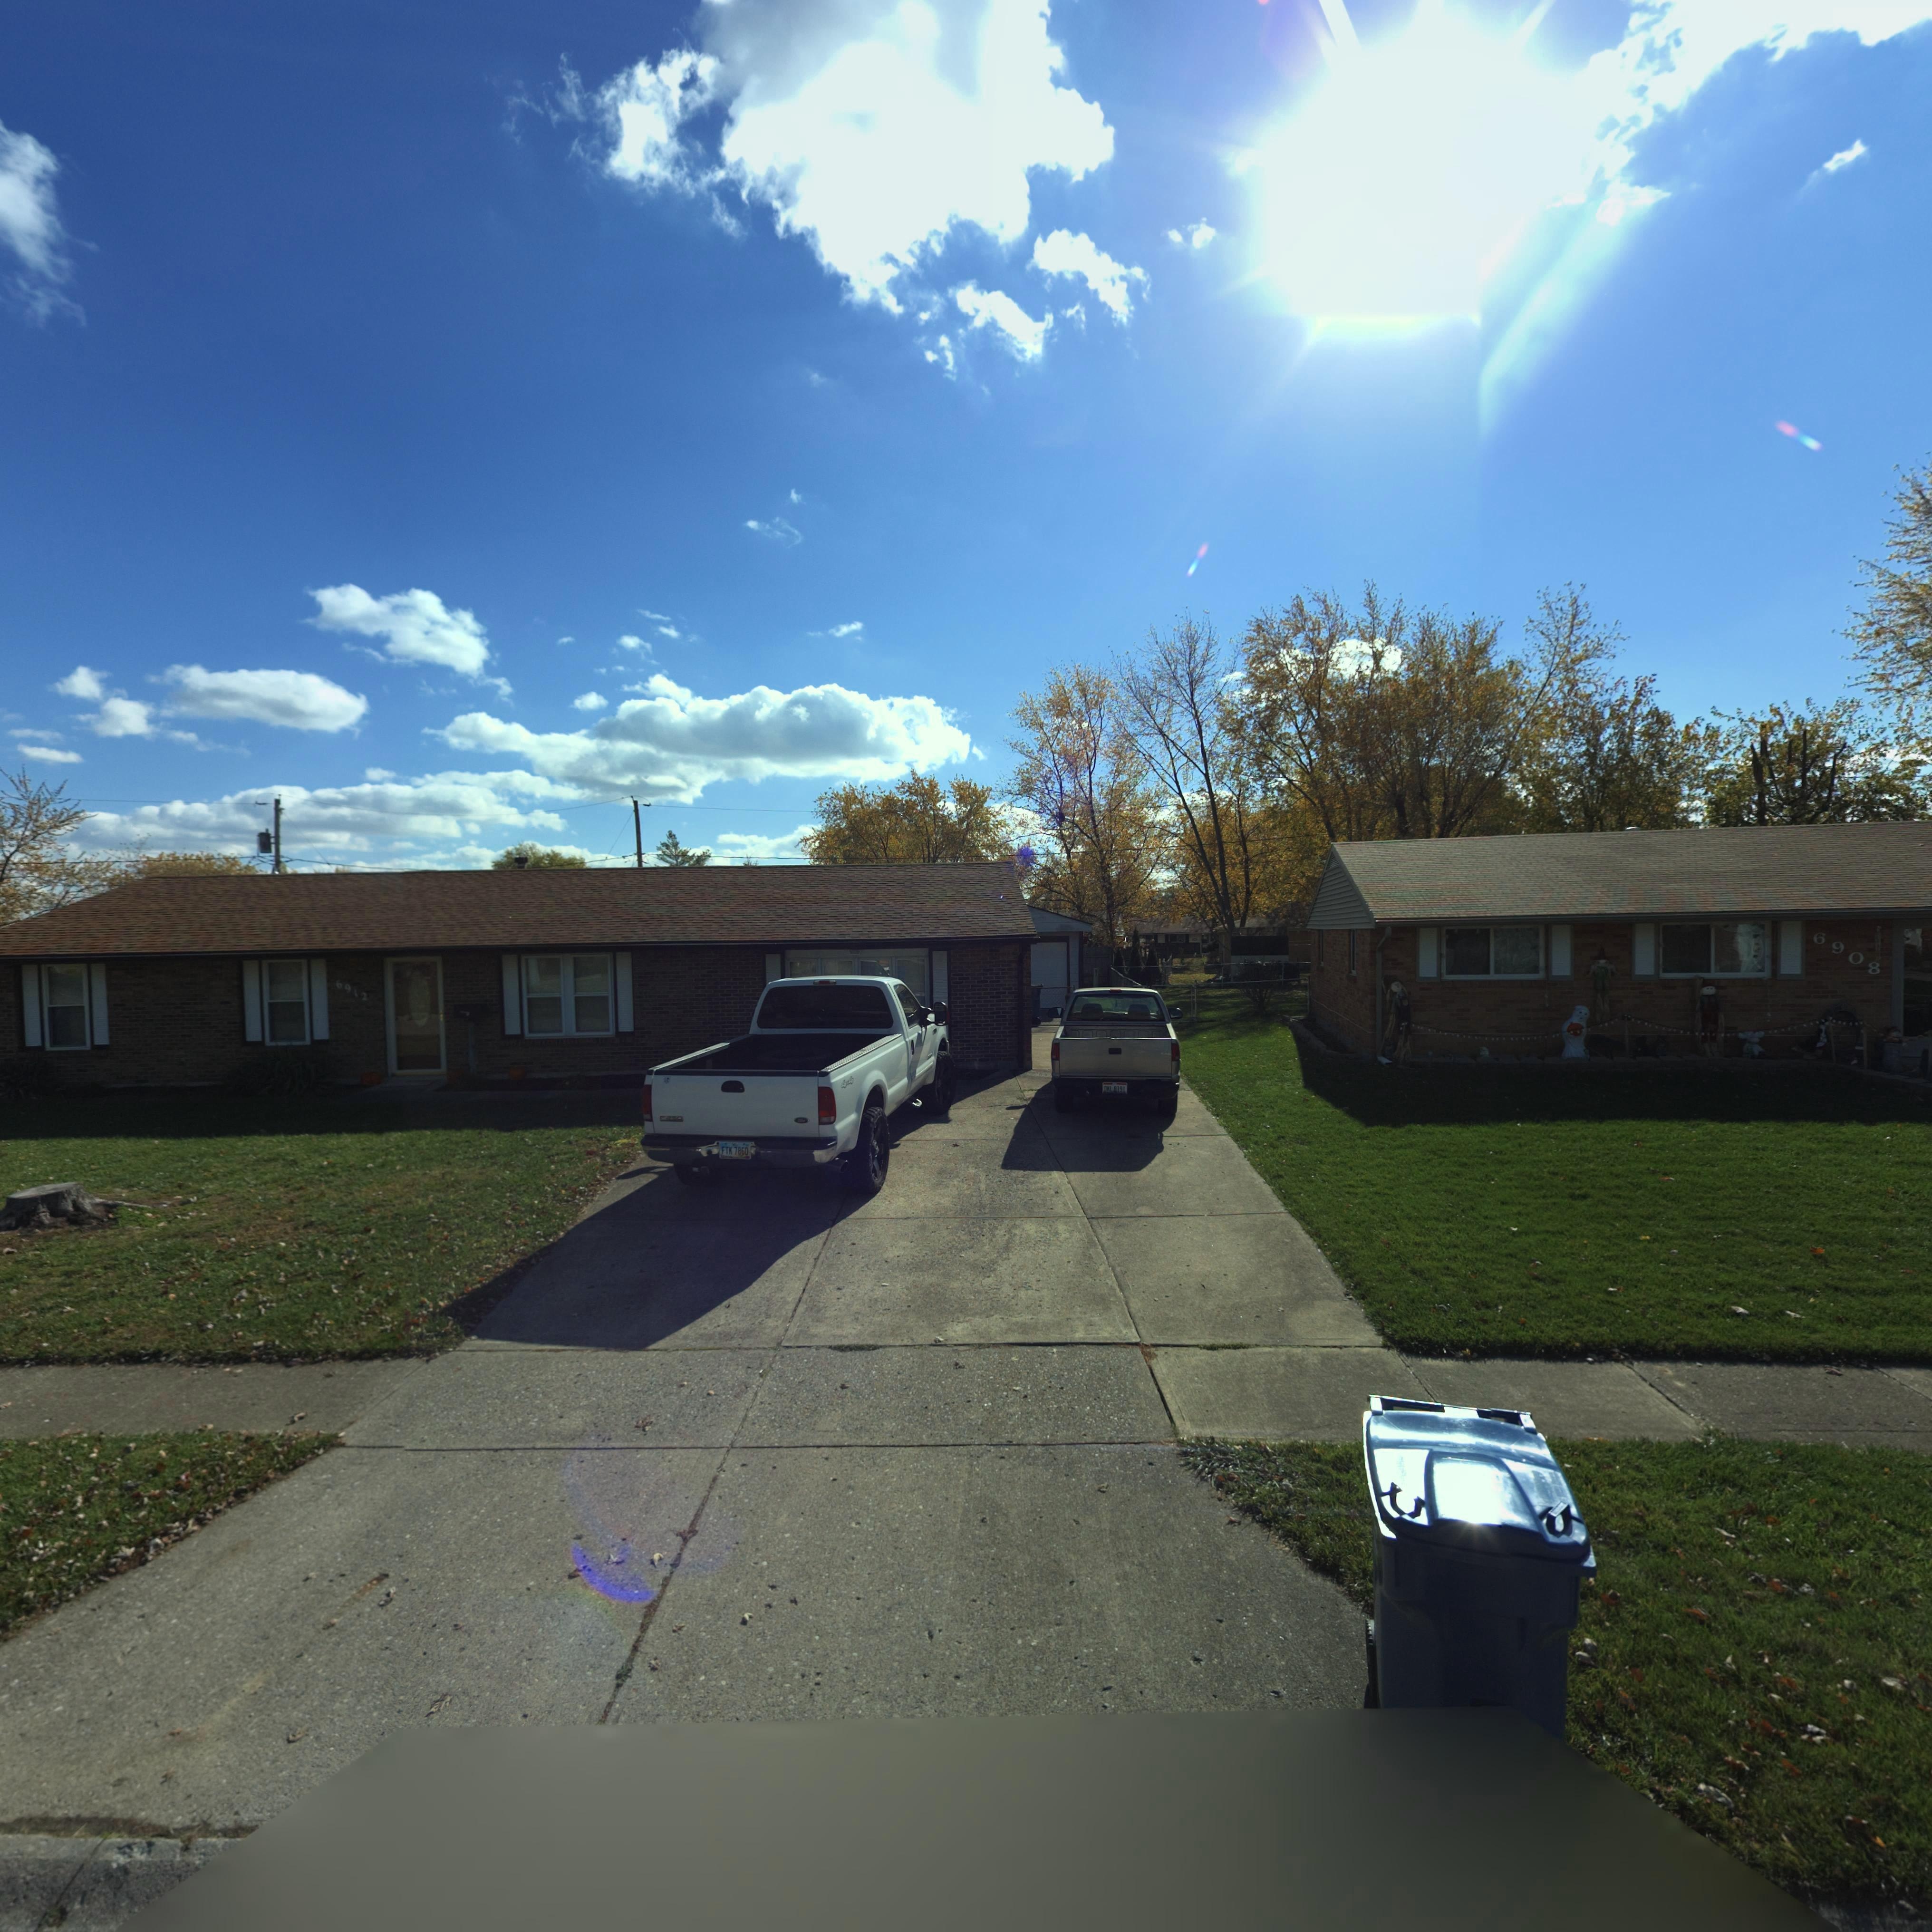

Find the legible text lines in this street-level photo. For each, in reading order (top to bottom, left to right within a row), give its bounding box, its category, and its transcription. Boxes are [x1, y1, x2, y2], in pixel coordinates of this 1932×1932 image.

[1811, 930, 1882, 976] StreetNumber: 6908
[334, 977, 368, 1002] StreetNumber: 6912